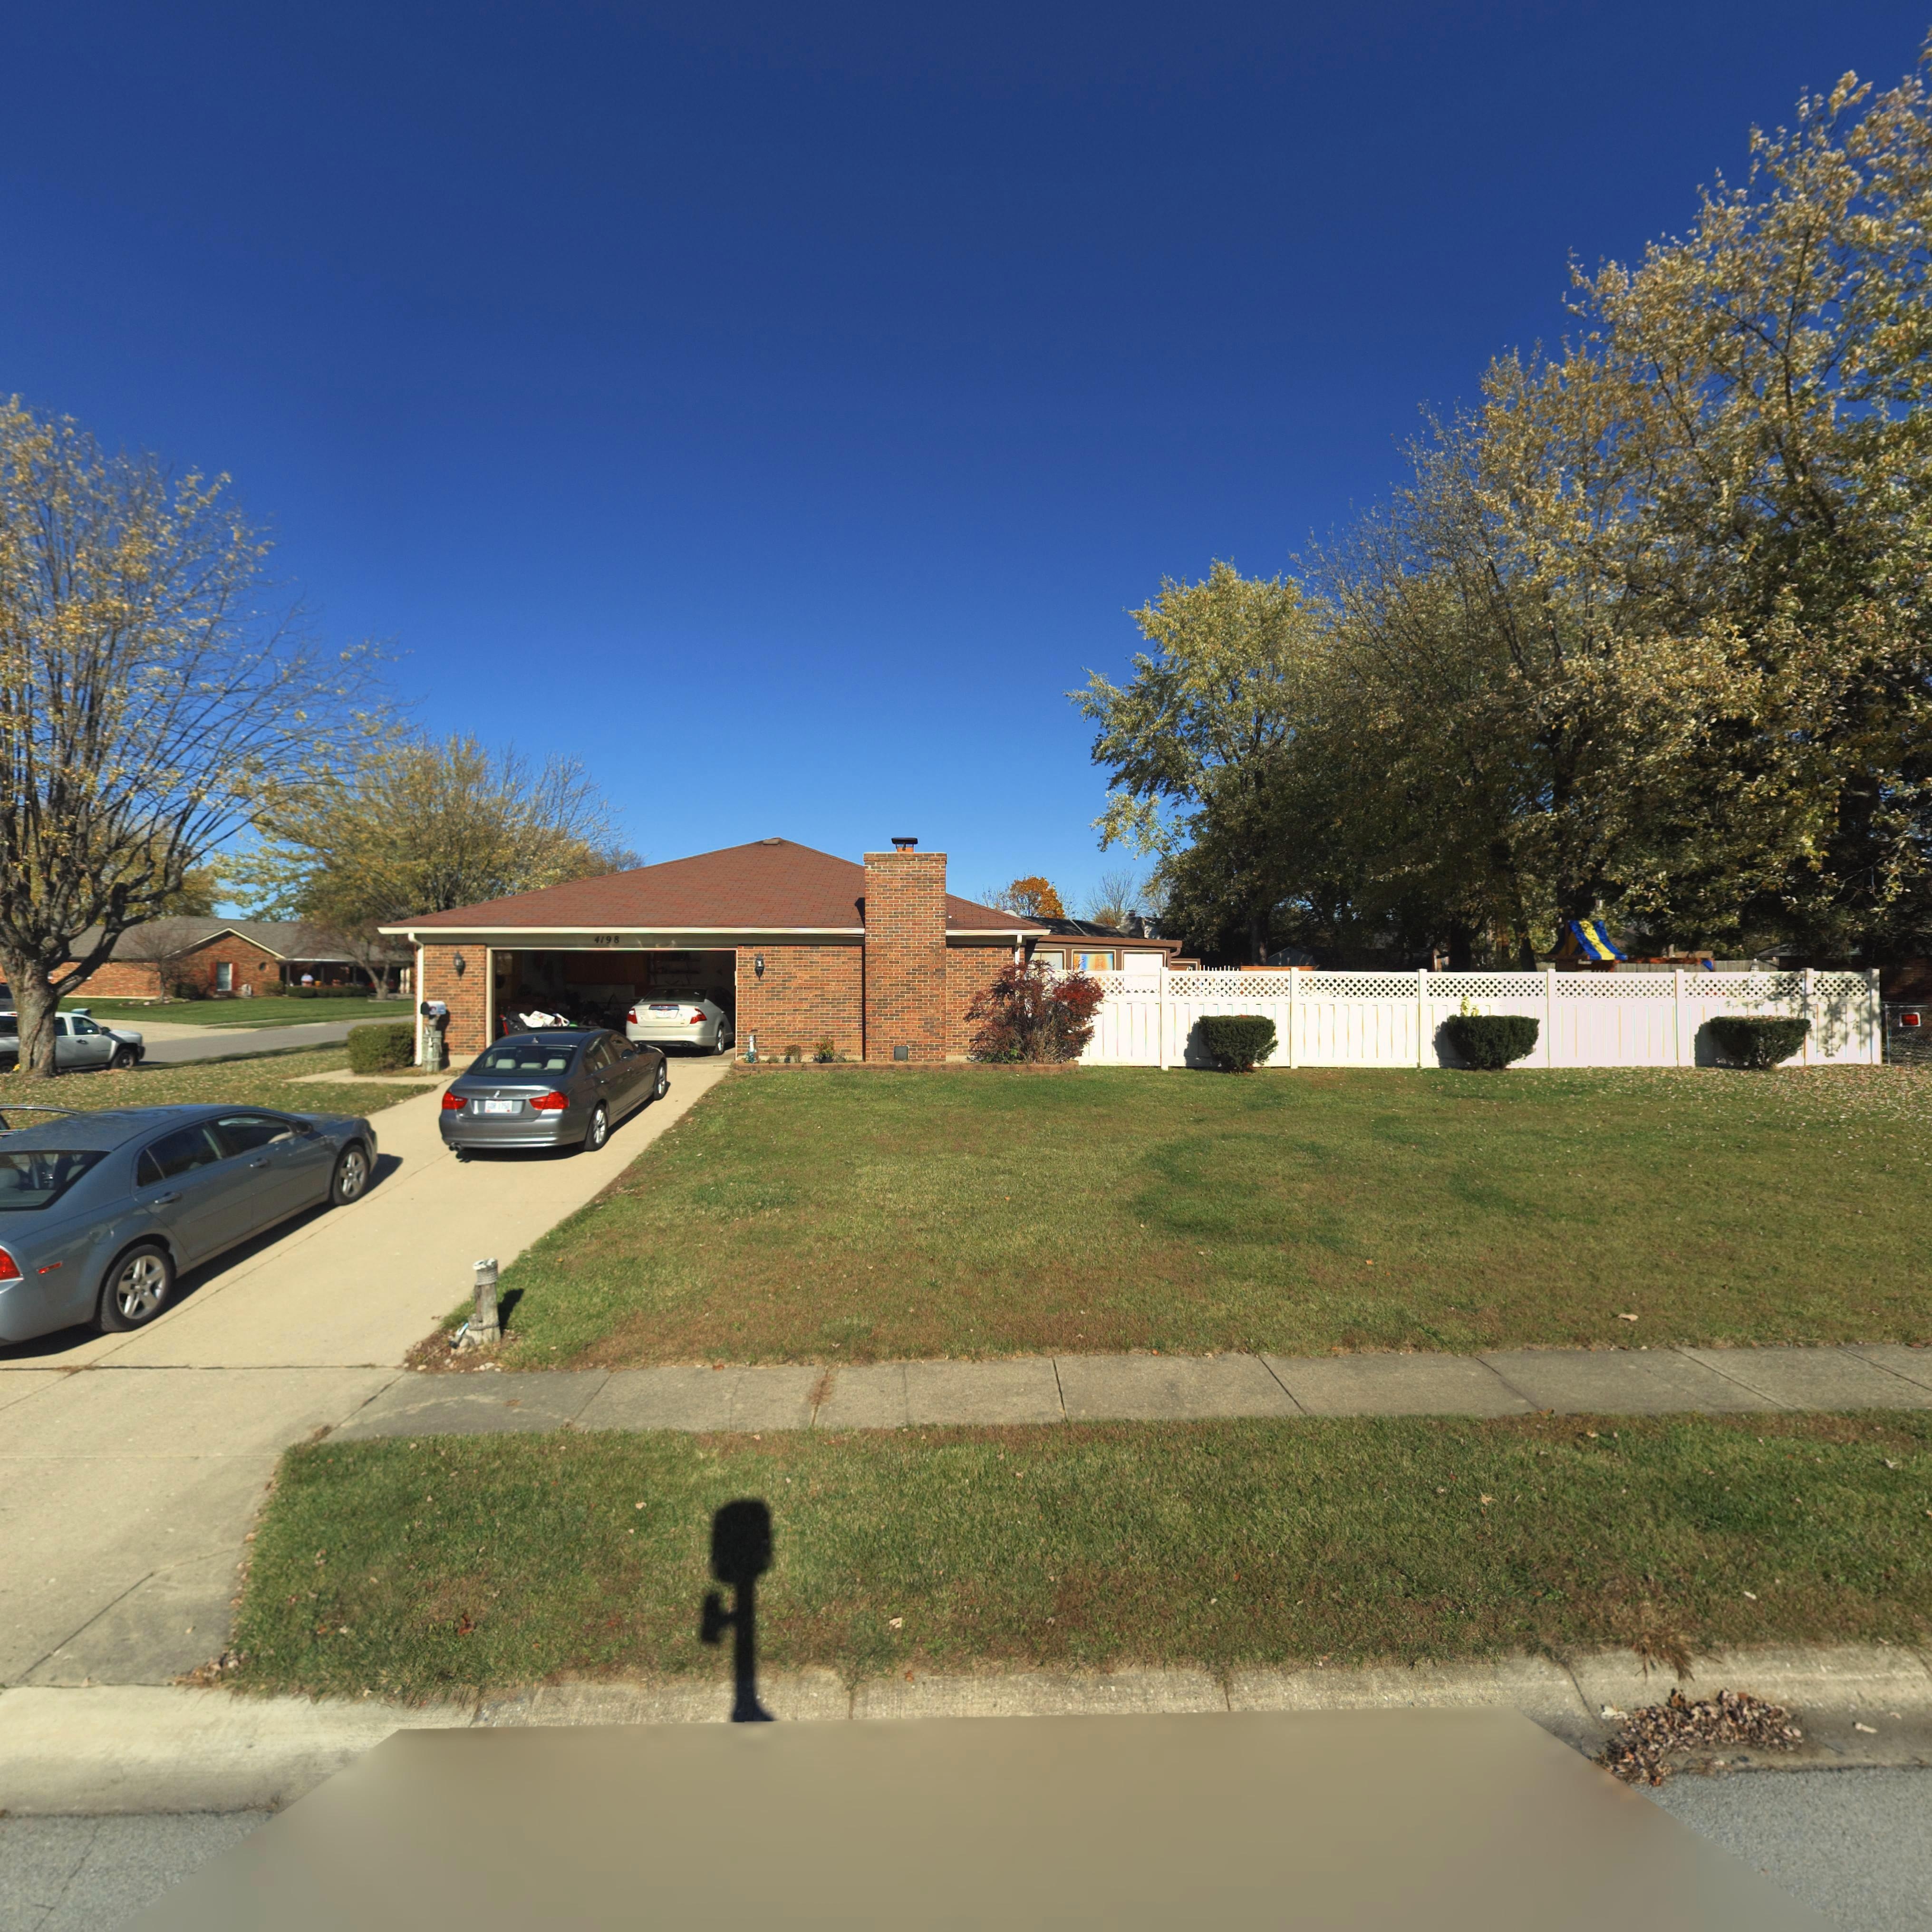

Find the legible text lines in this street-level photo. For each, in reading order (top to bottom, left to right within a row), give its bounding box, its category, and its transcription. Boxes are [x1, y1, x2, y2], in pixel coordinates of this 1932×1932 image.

[593, 934, 620, 945] StreetNumber: 4198